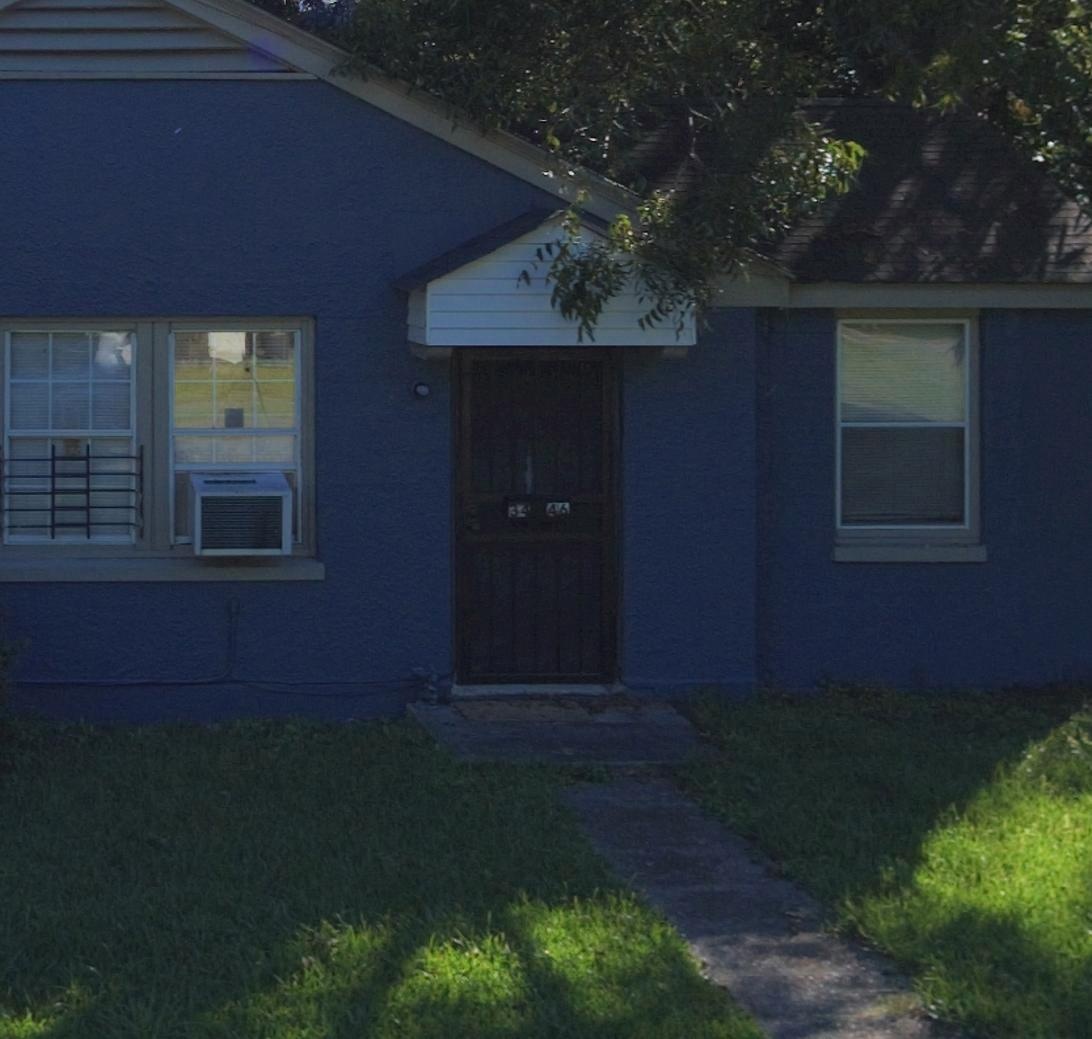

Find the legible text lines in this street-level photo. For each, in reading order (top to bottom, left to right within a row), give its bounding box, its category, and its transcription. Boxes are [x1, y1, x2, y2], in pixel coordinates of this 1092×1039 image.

[508, 501, 570, 519] StreetNumber: 34 46